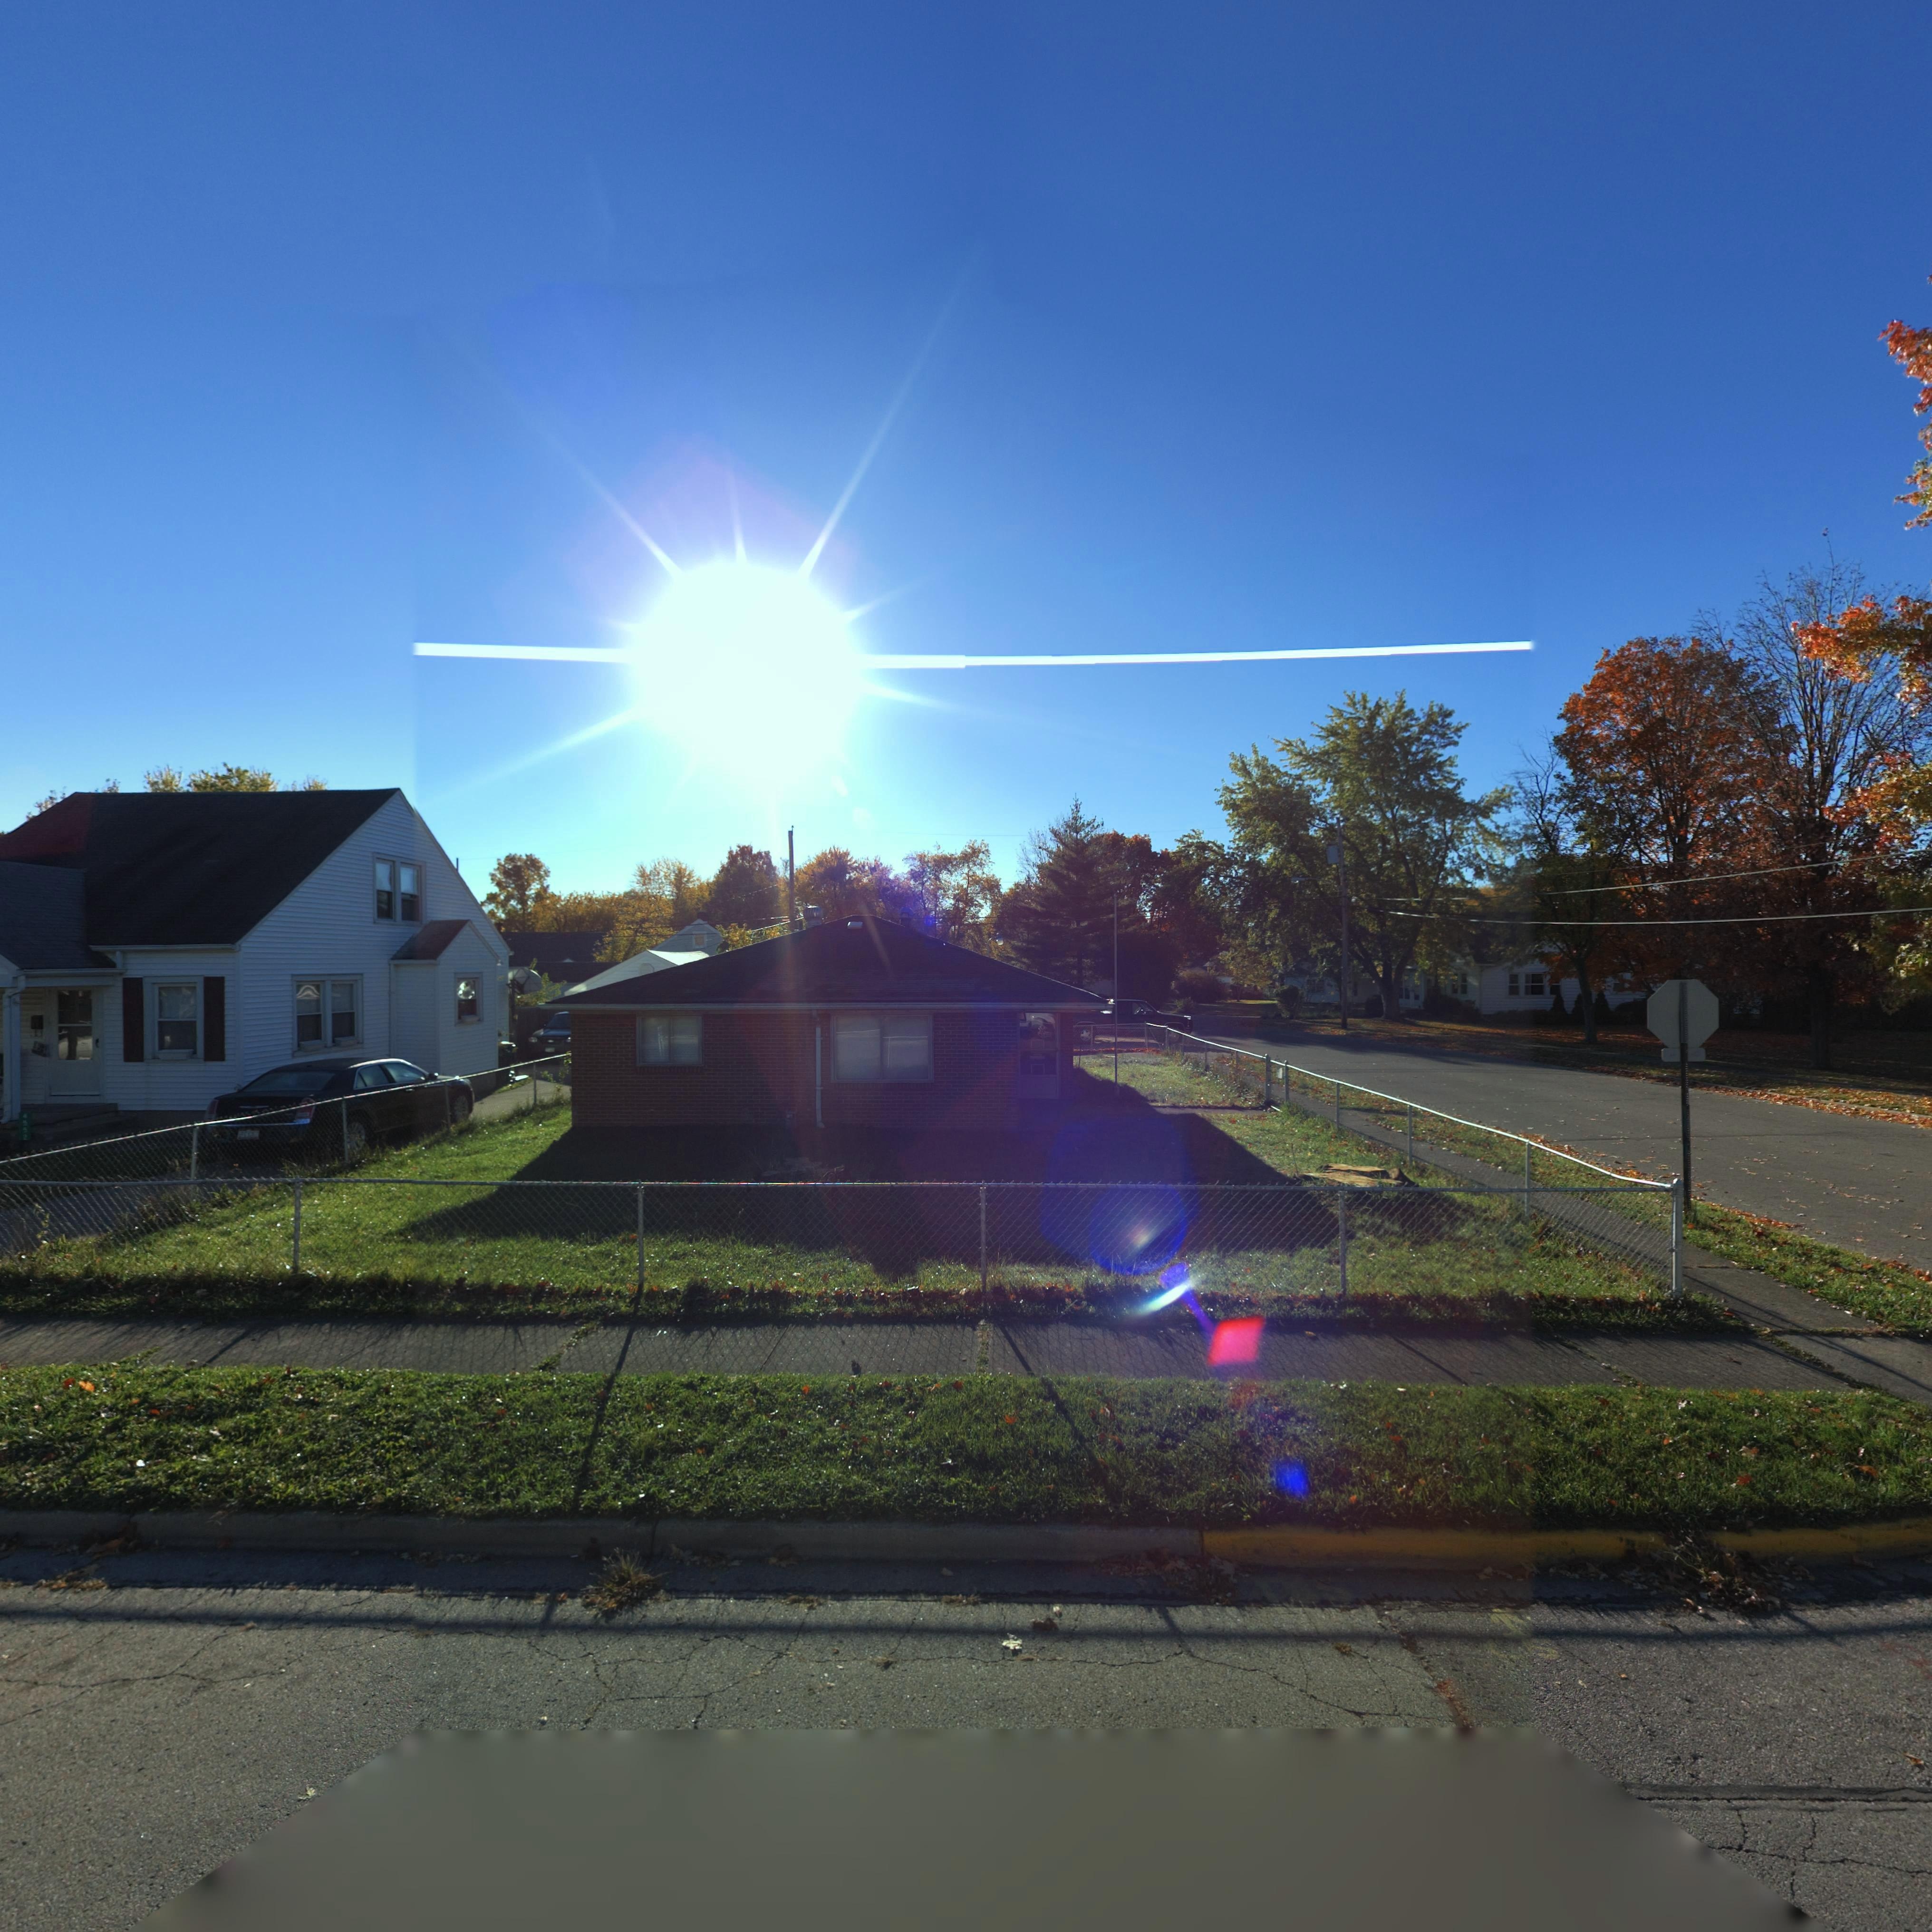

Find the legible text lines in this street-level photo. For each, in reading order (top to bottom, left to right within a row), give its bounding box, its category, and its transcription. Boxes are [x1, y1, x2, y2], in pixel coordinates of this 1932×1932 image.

[21, 1112, 28, 1141] StreetNumber: 4552